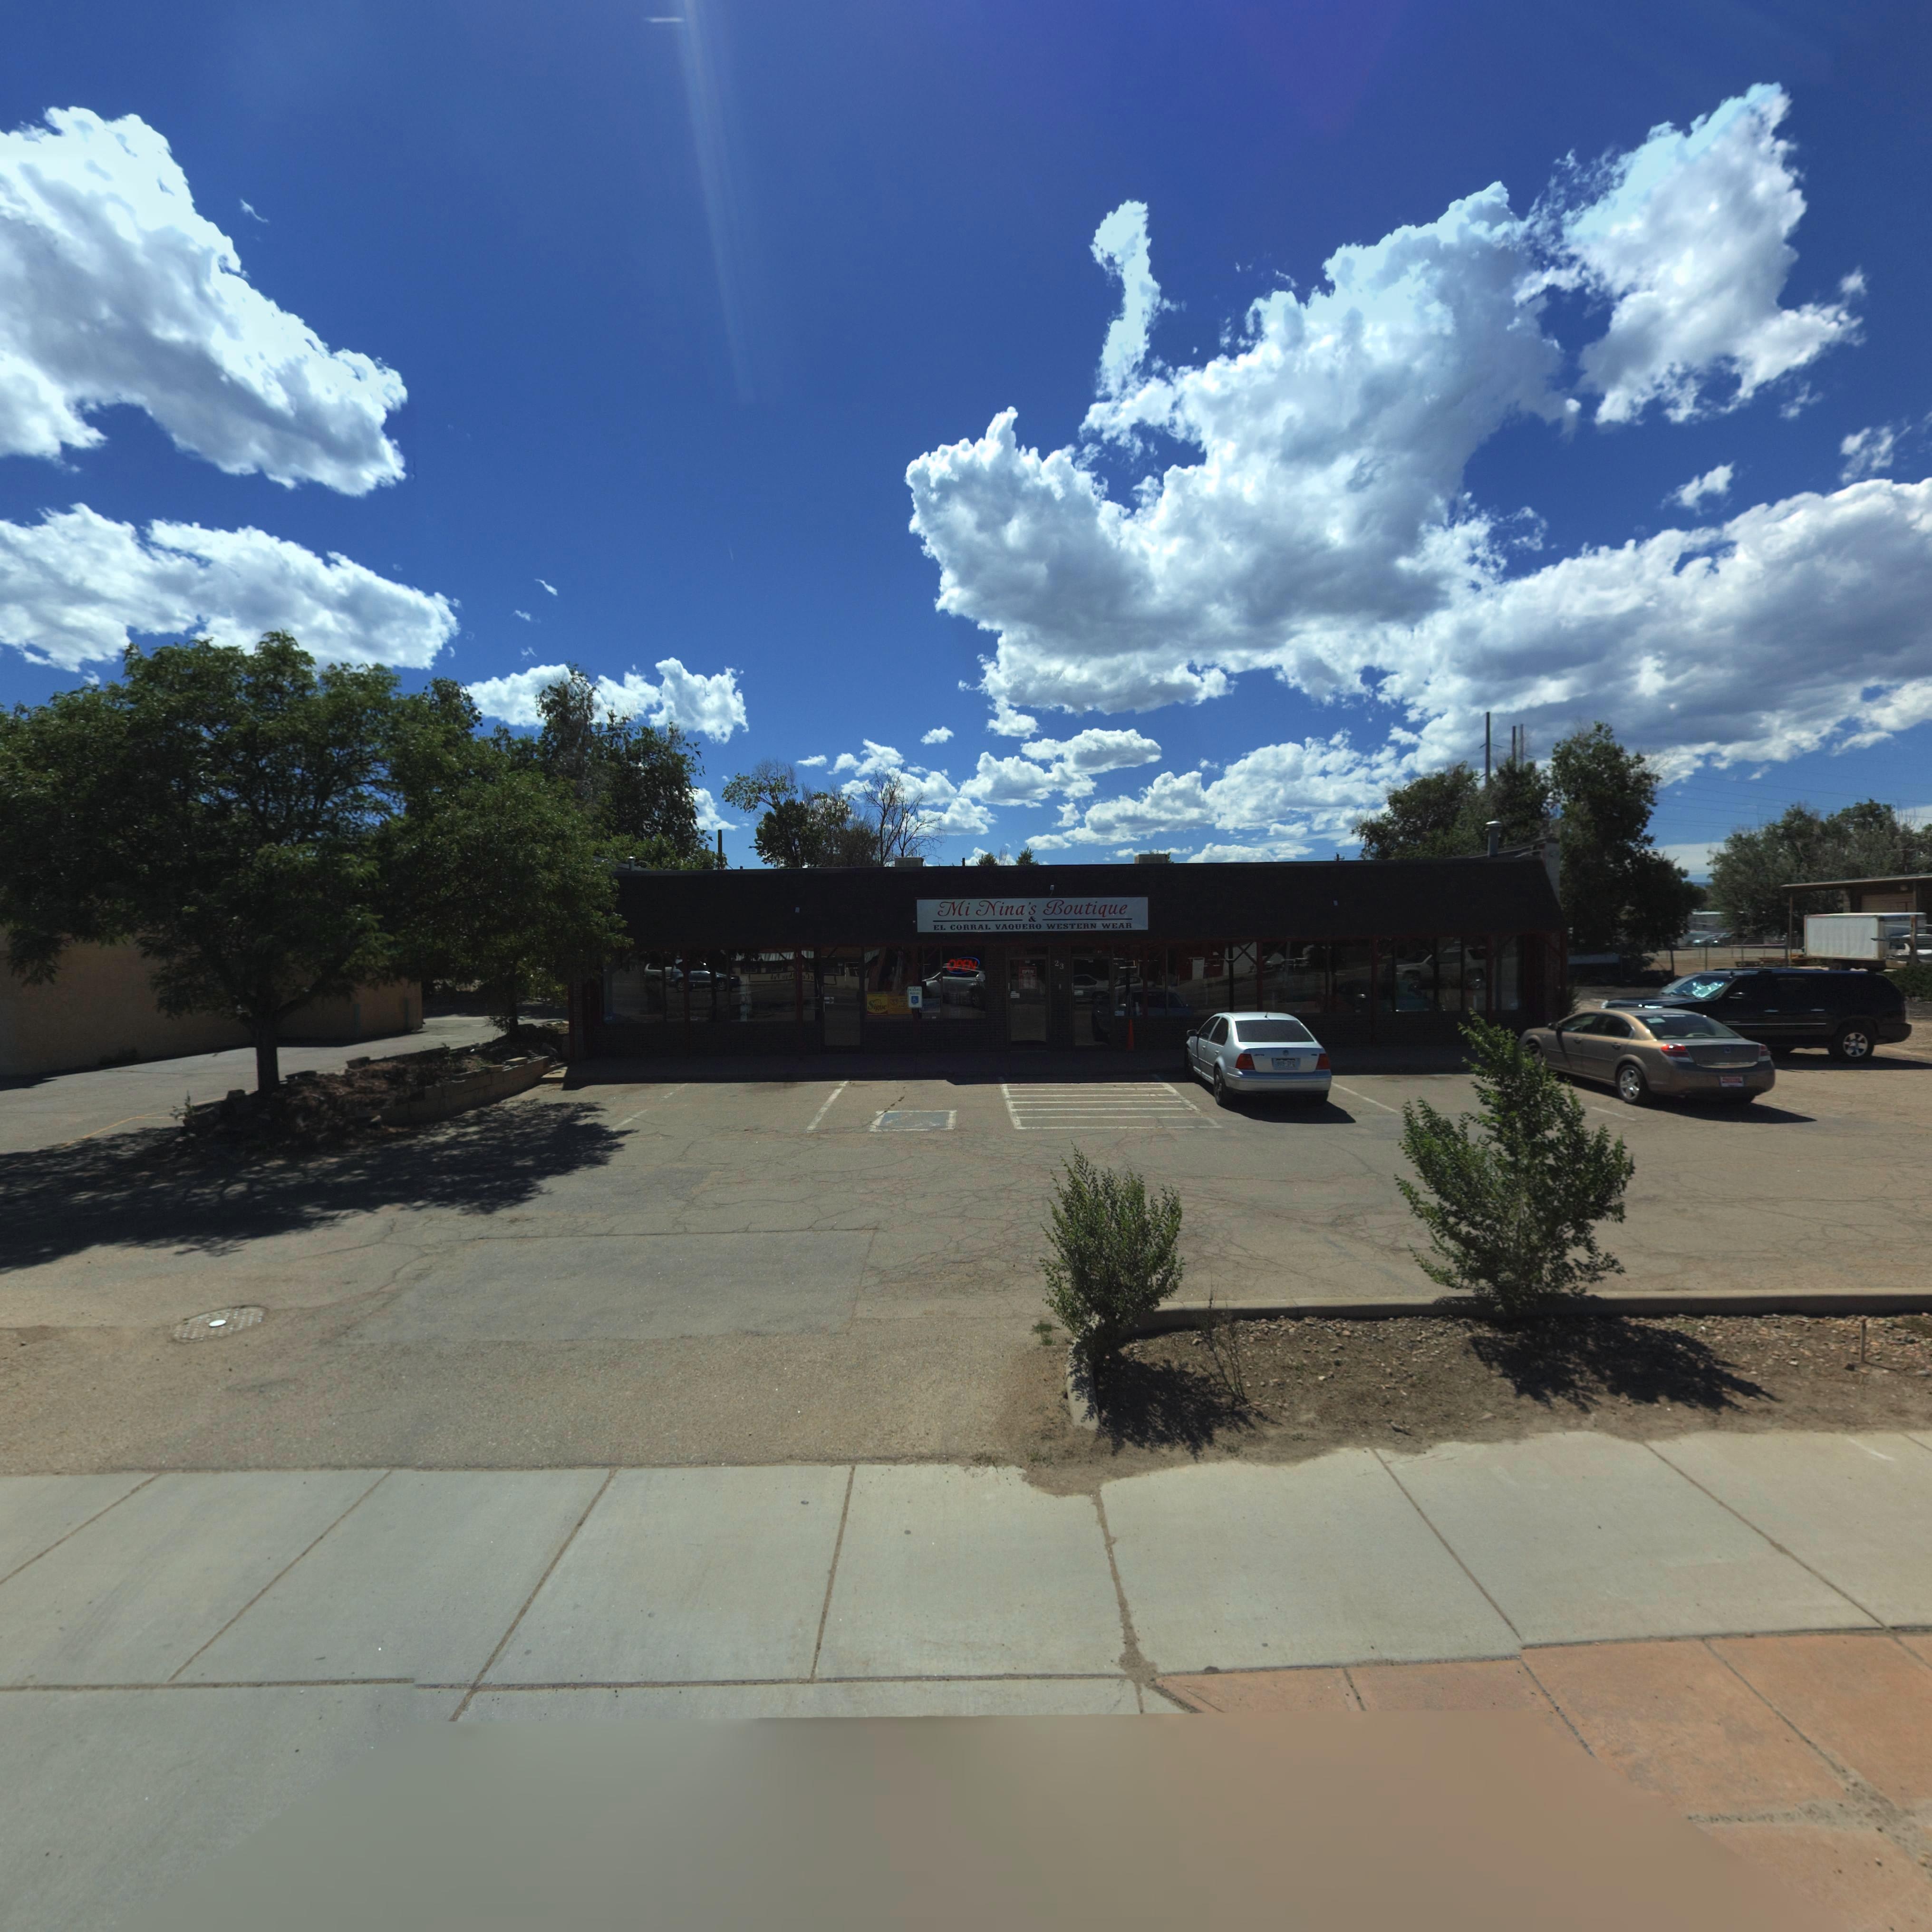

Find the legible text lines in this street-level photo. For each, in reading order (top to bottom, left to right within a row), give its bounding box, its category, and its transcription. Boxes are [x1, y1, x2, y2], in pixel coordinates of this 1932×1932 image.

[936, 898, 1128, 918] None: Mi Nina's Boutique
[932, 922, 1132, 931] BusinessName: EL CORRAL VAQUERO WESTERN WEAR
[1053, 959, 1064, 970] StreetNumber: 23